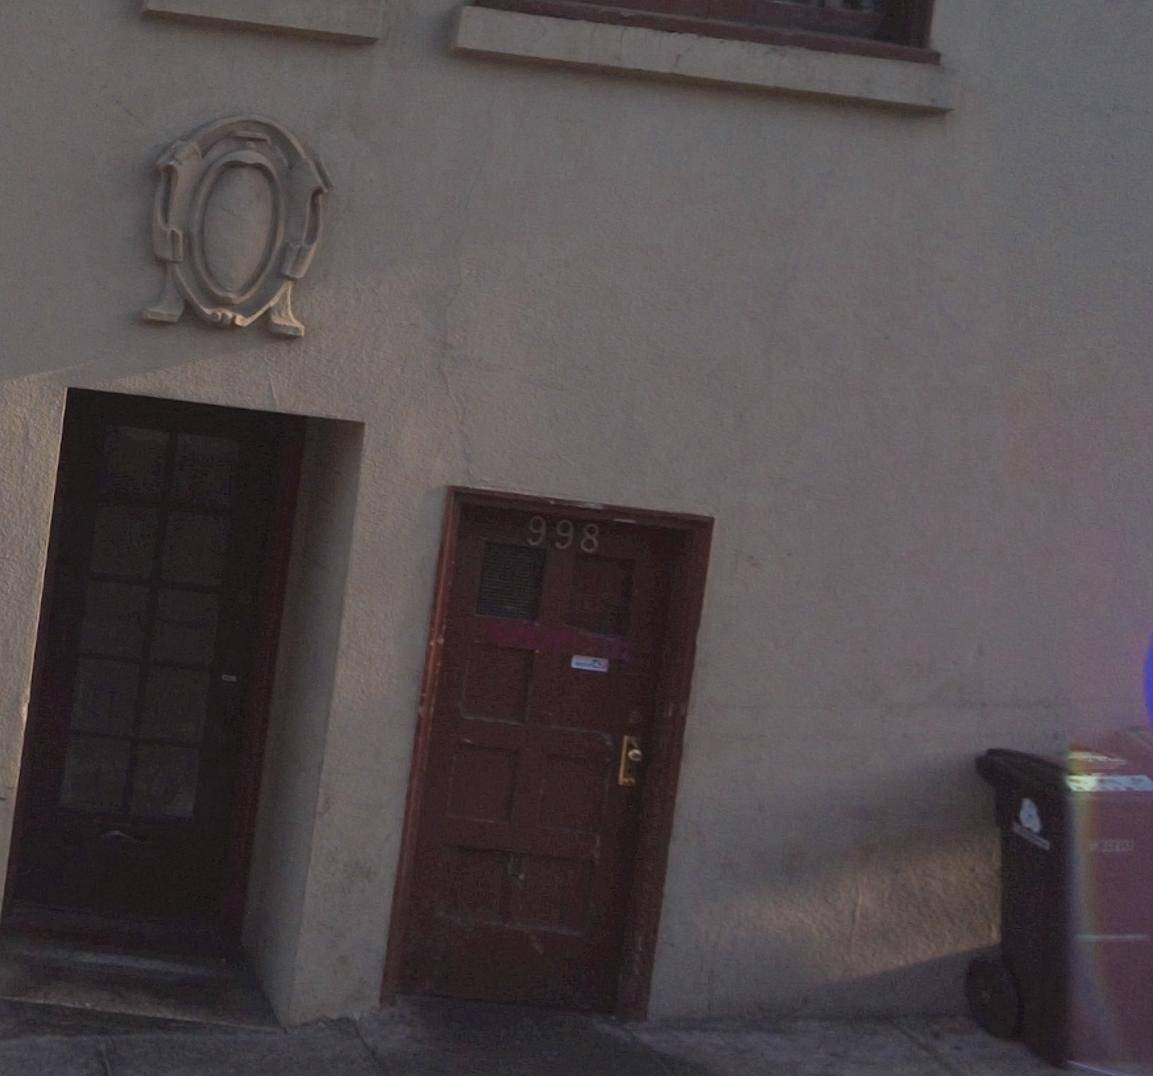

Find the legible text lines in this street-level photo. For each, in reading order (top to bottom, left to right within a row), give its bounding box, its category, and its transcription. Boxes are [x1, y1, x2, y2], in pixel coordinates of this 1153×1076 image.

[523, 512, 604, 558] StreetNumber: 998